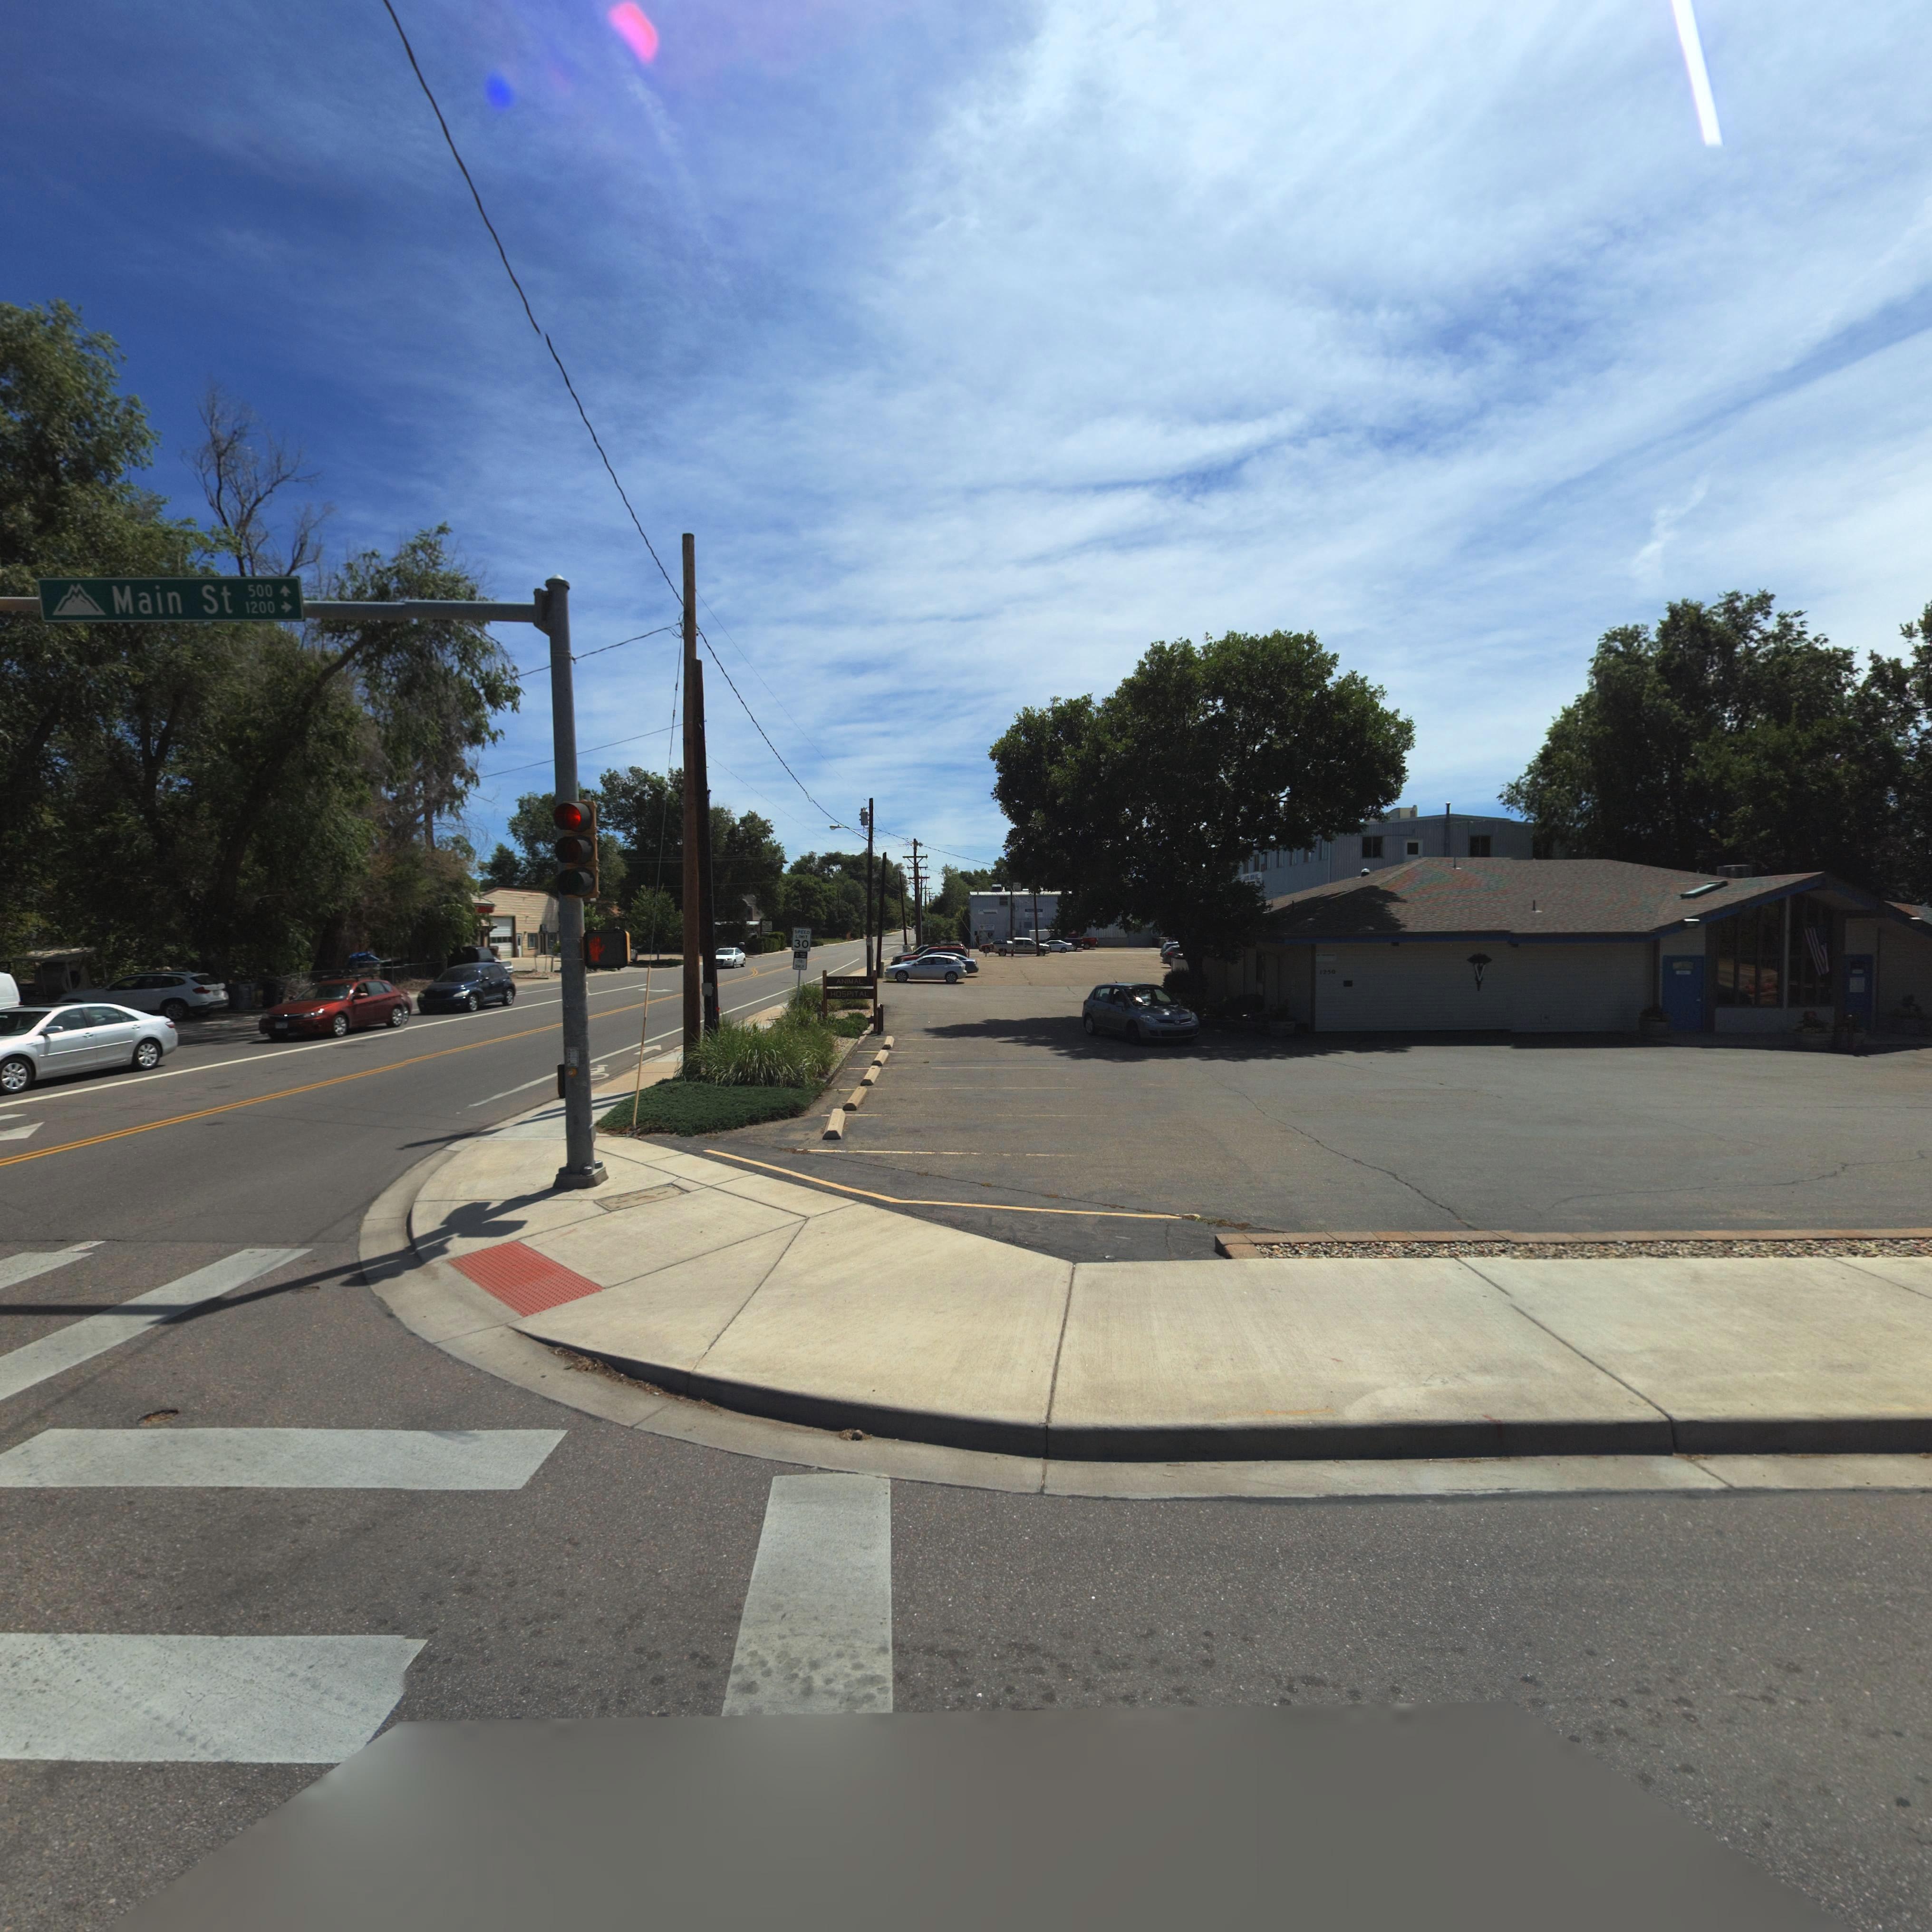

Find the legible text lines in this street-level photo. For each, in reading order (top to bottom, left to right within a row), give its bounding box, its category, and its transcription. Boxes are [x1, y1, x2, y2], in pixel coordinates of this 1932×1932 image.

[248, 584, 273, 598] StreetNumberRange: 500
[112, 584, 233, 615] StreetName: Main St
[245, 600, 293, 614] StreetNumberRange: 1200->
[1320, 969, 1335, 975] StreetNumber: 1250
[836, 978, 863, 984] BusinessName: ANIMAL
[831, 991, 869, 997] BusinessName: HOSPITAL